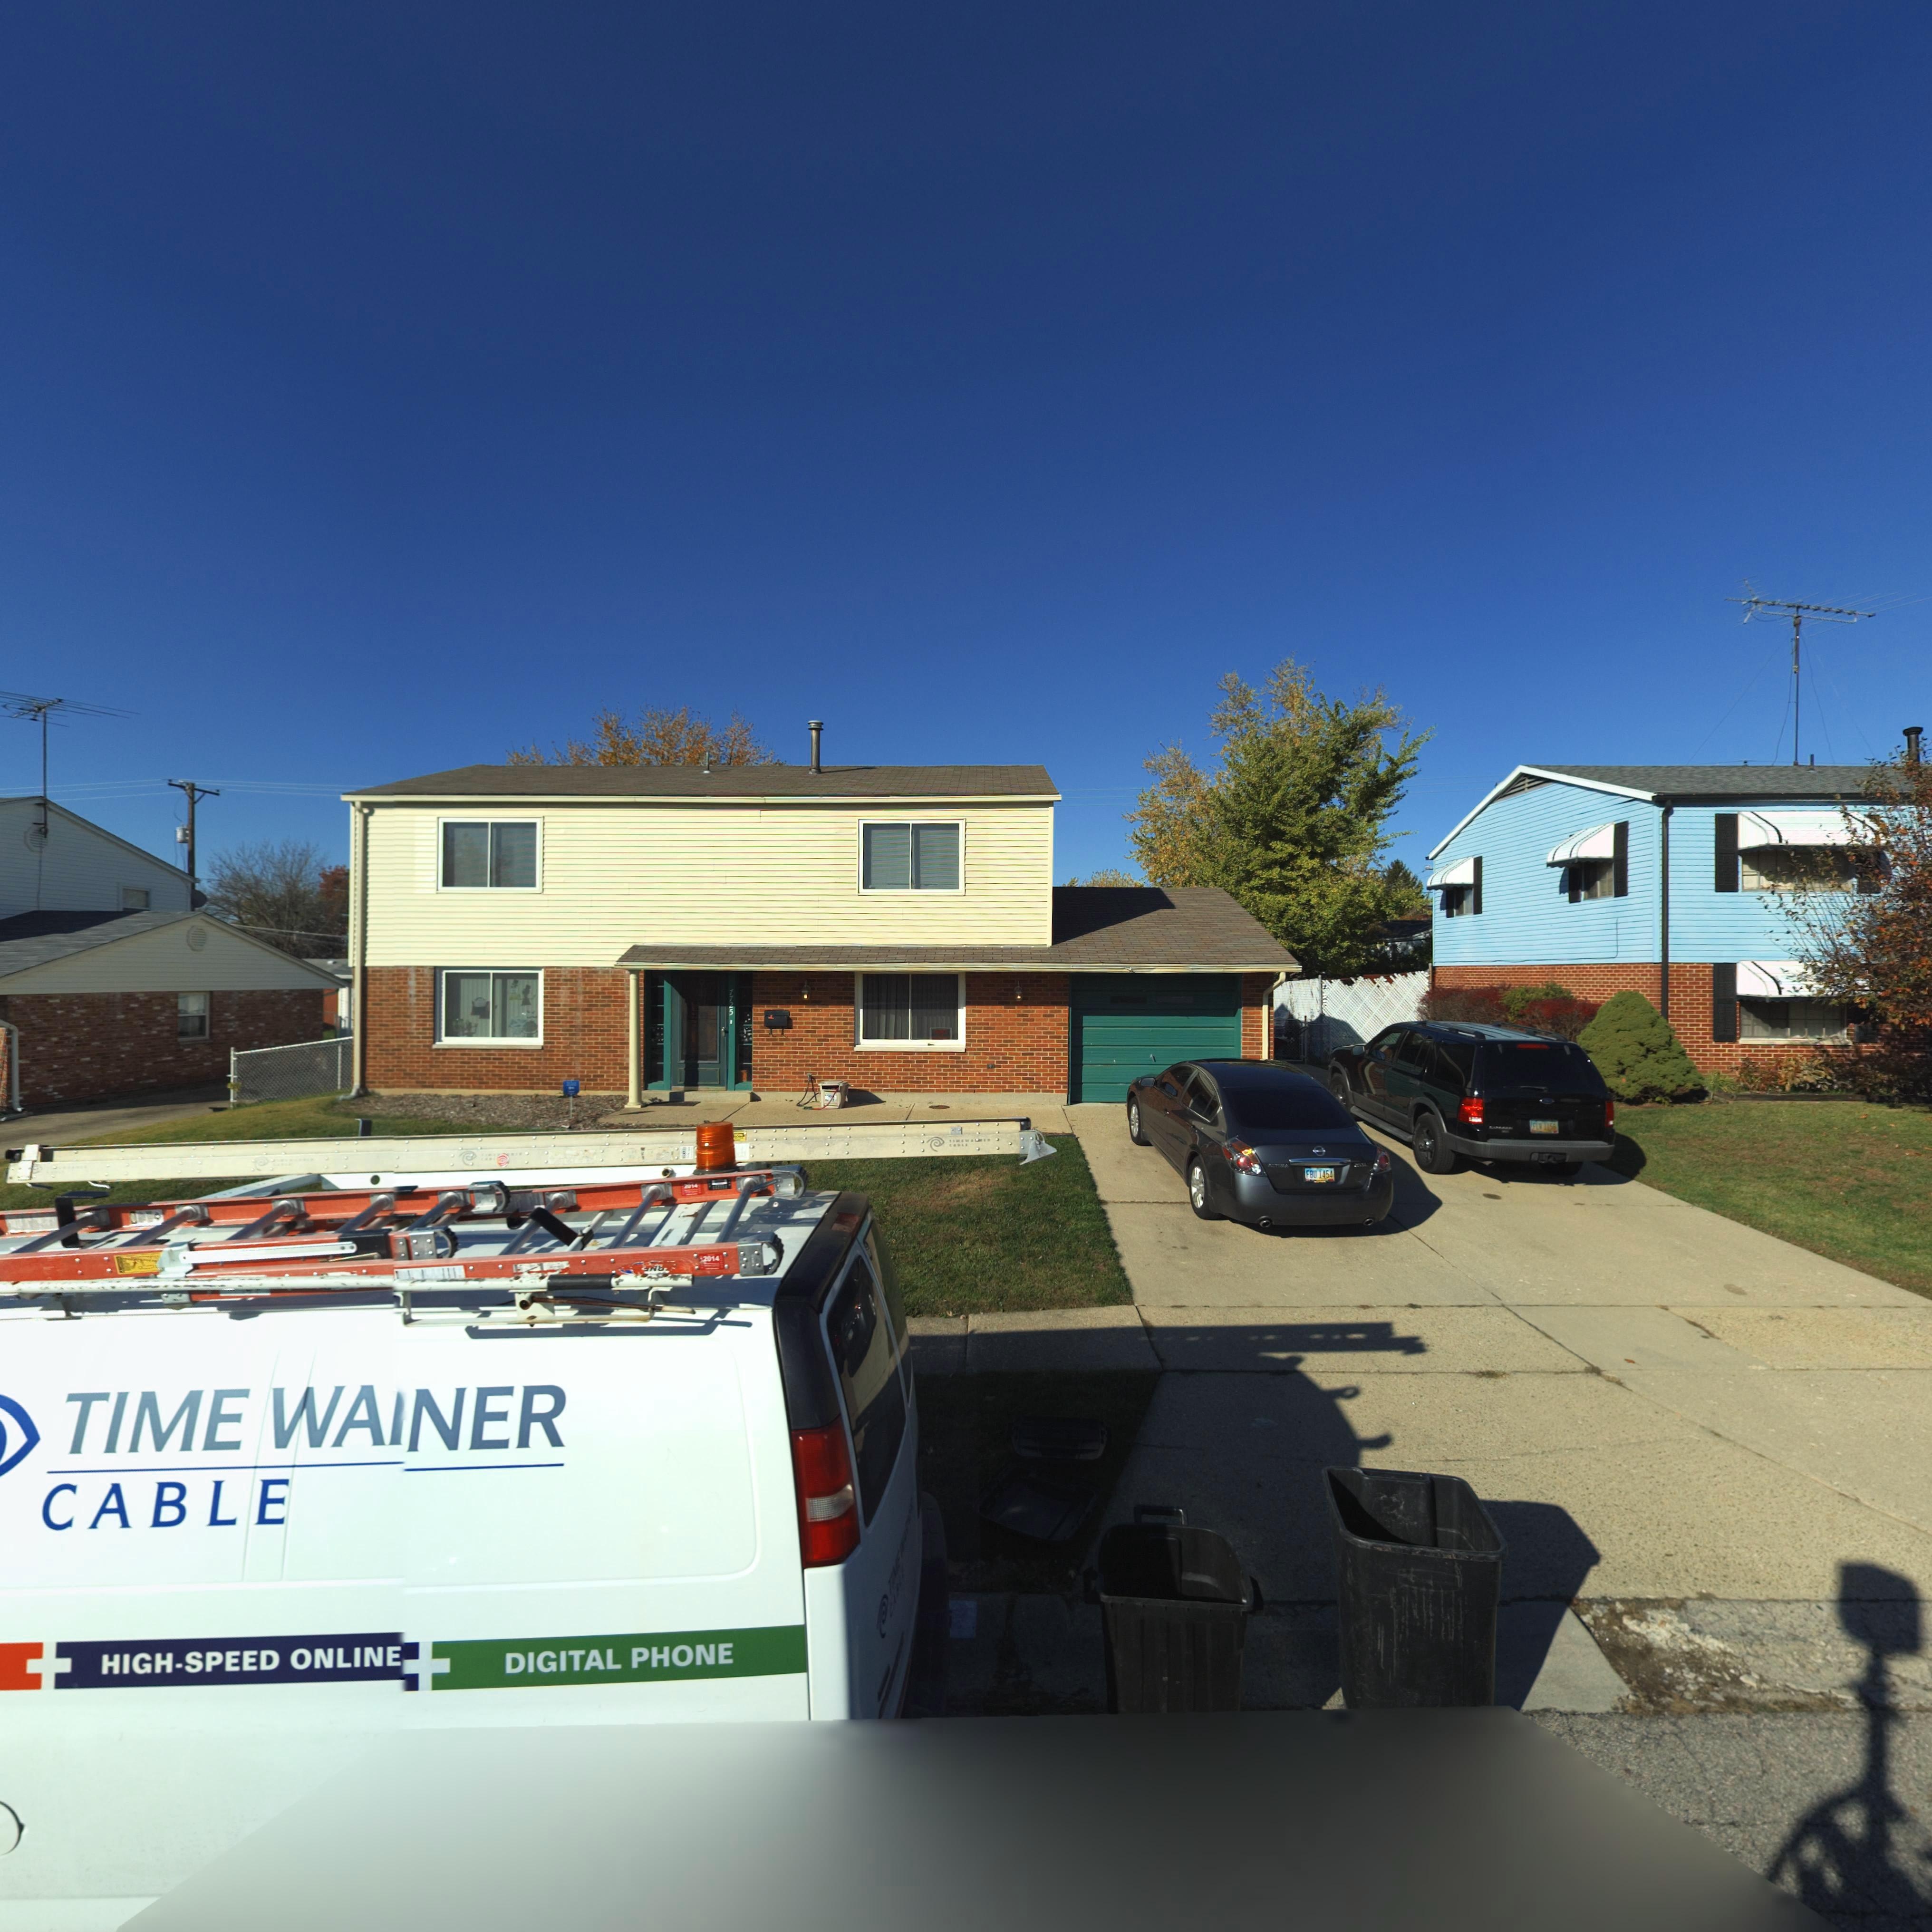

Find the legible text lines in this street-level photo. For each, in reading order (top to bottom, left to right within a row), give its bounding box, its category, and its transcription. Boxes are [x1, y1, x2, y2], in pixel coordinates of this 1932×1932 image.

[728, 987, 734, 1016] StreetNumber: 7725